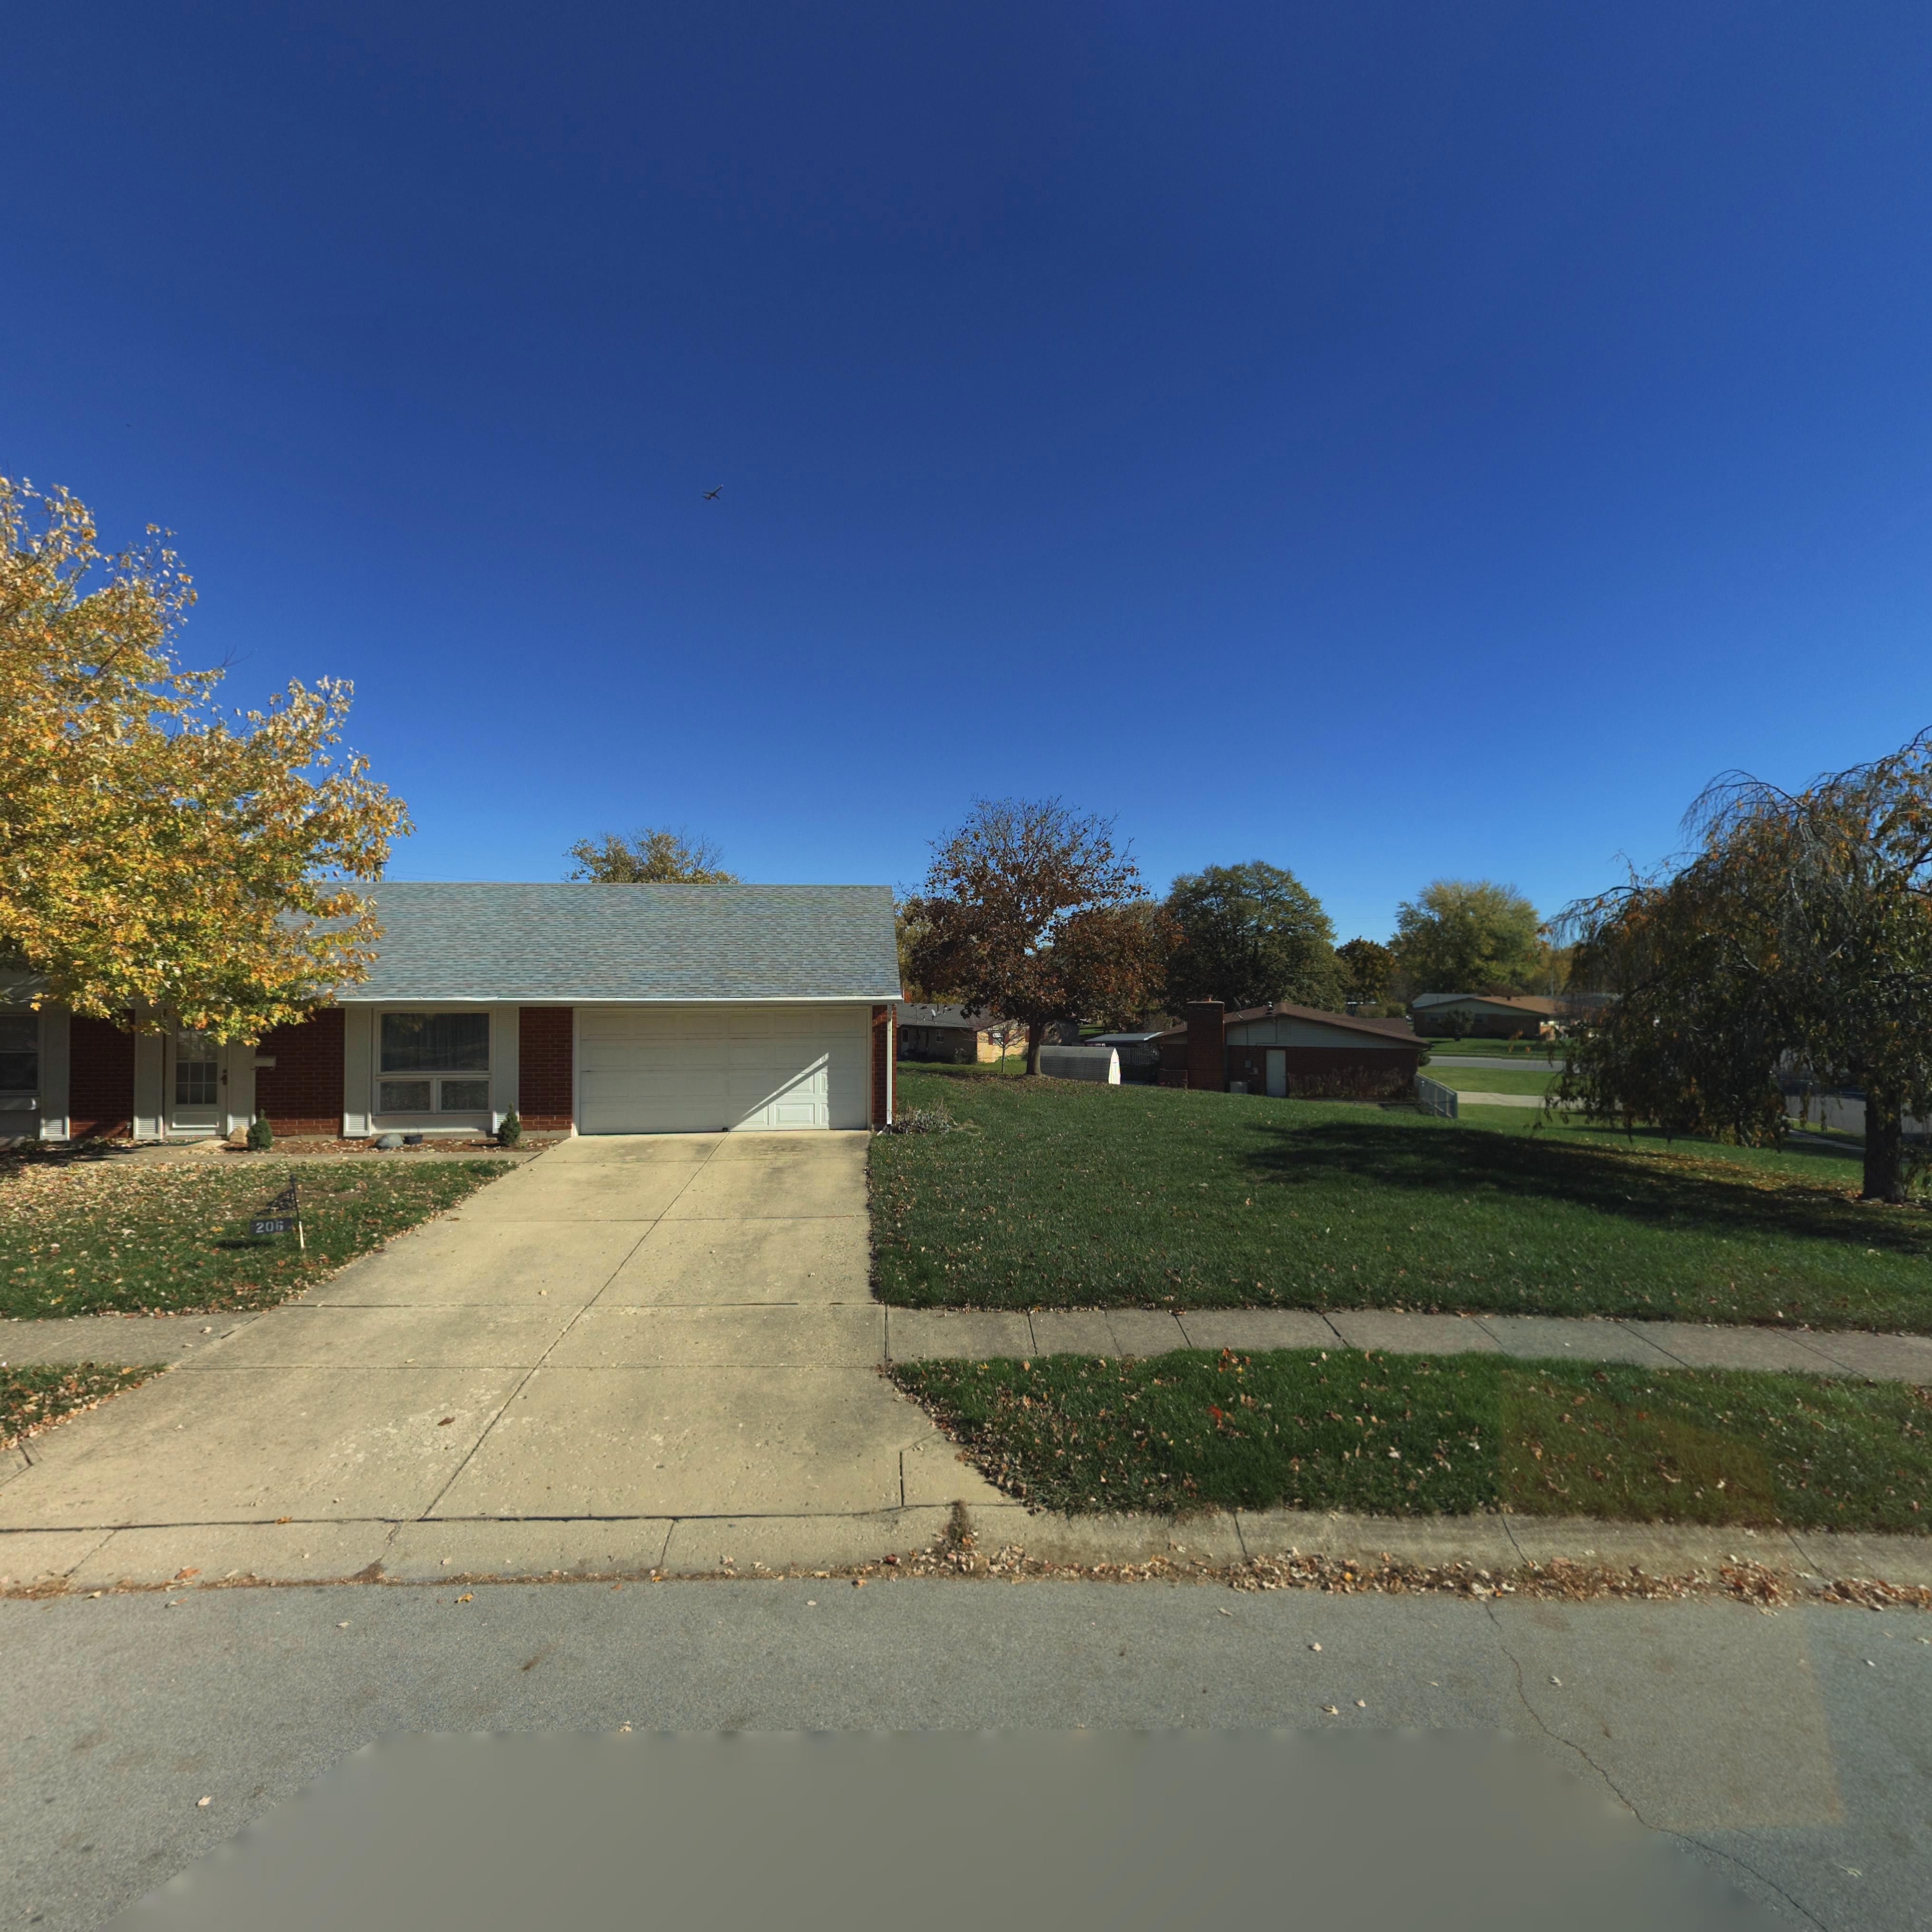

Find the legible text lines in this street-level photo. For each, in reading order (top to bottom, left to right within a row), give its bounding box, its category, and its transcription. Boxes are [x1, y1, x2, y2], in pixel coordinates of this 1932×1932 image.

[255, 1219, 285, 1235] StreetNumber: 206